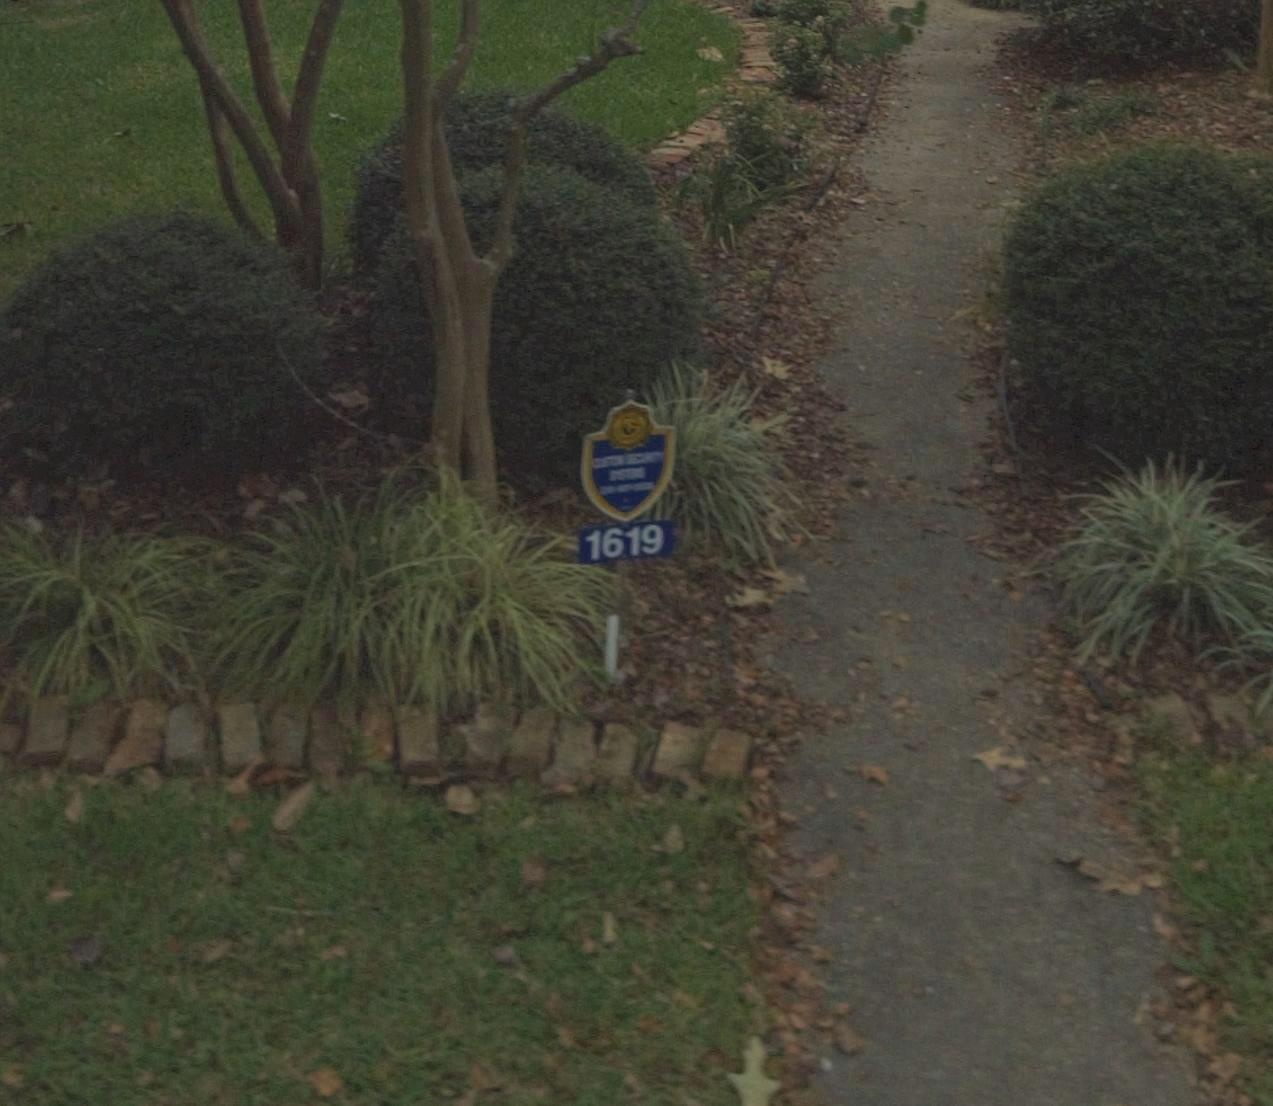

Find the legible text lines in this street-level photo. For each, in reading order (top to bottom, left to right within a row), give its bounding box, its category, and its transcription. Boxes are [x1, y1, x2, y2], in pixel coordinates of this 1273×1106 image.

[585, 521, 665, 562] StreetNumber: 1619